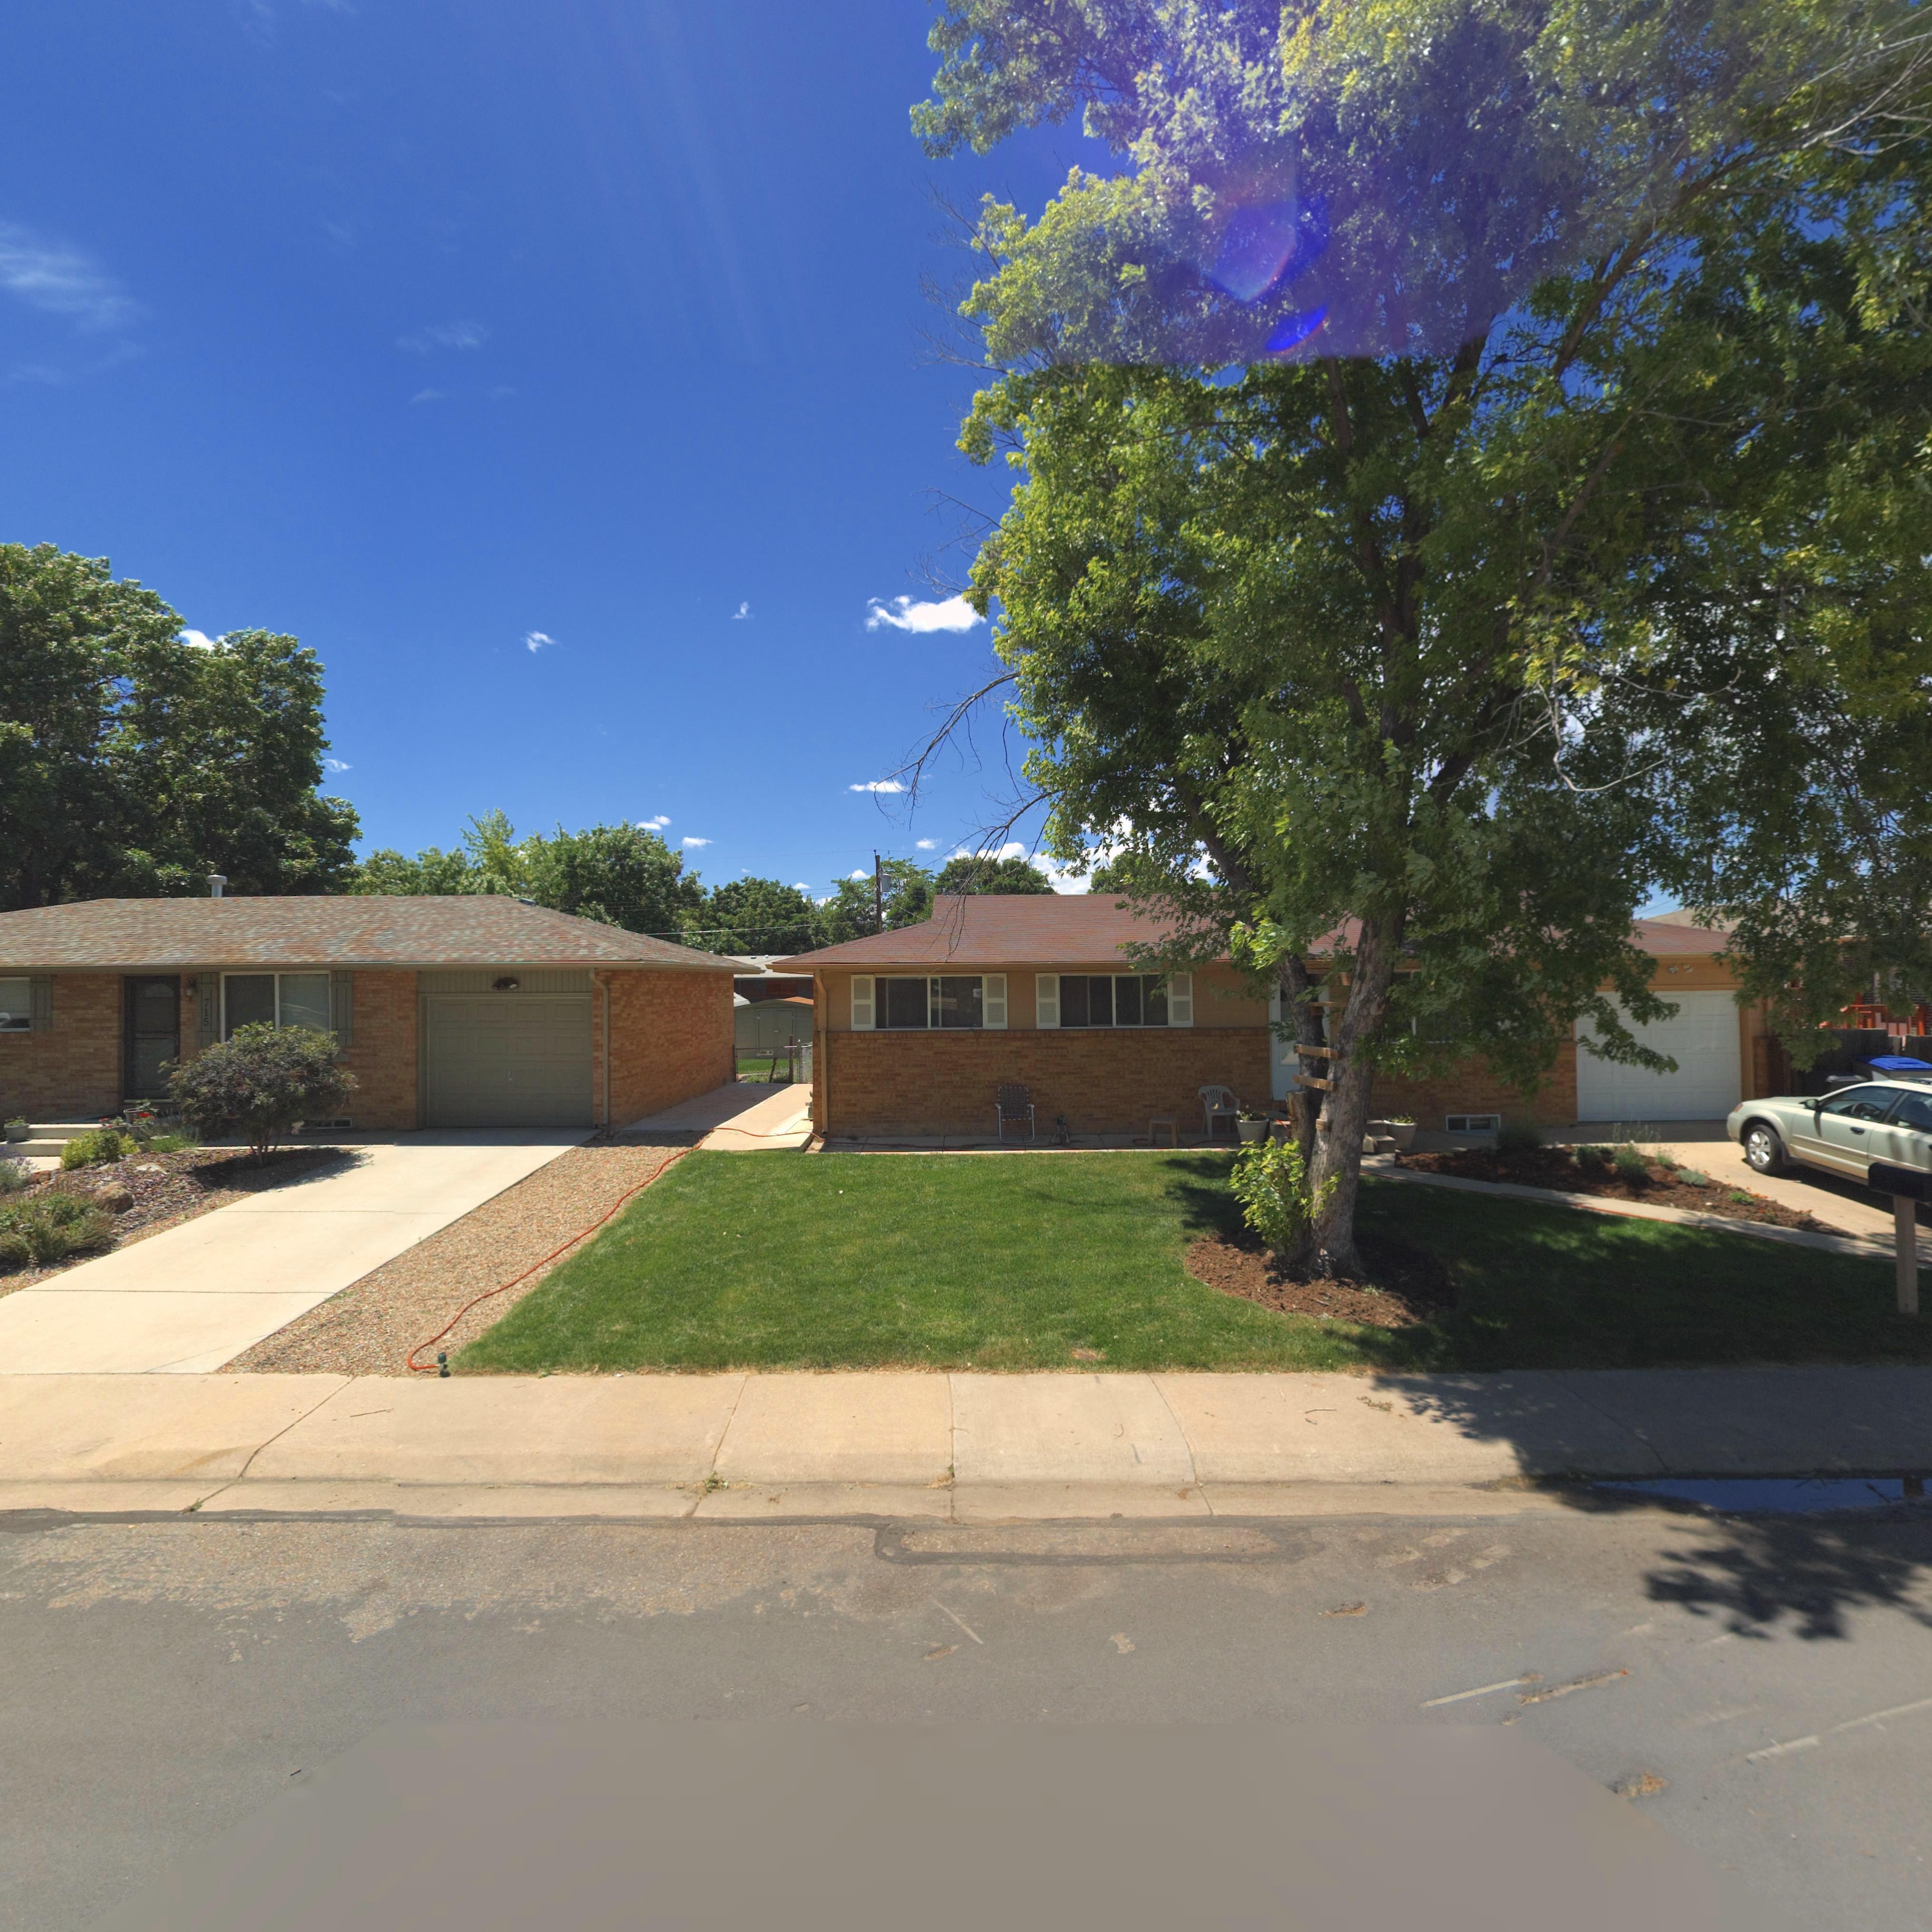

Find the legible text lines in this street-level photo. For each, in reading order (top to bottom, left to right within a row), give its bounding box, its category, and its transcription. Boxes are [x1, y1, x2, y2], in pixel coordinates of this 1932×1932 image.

[203, 998, 209, 1026] StreetNumber: 715